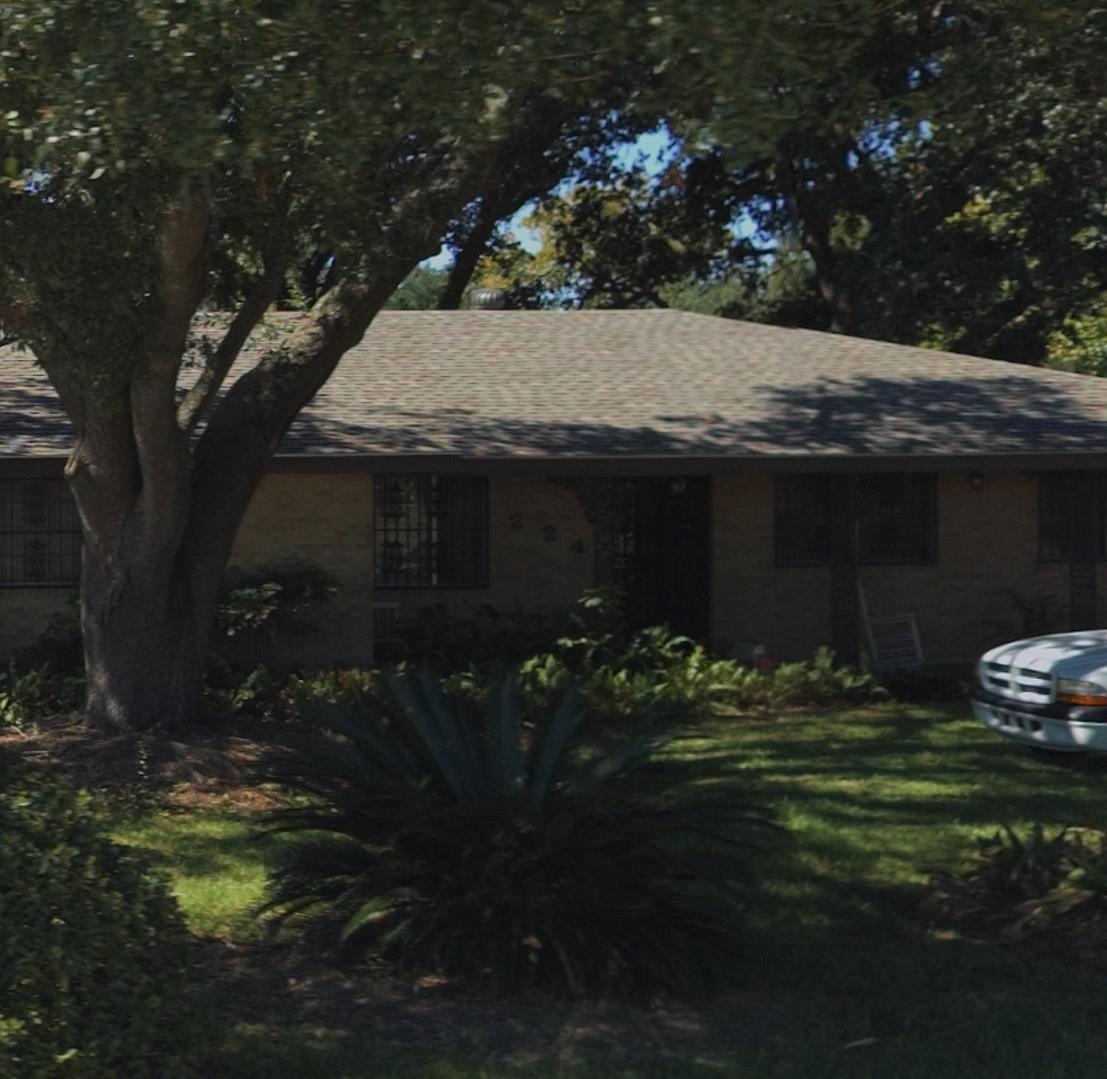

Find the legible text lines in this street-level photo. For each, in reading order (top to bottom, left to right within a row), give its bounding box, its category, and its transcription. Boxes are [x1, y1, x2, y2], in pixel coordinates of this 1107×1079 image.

[507, 510, 588, 561] StreetNumber: 224